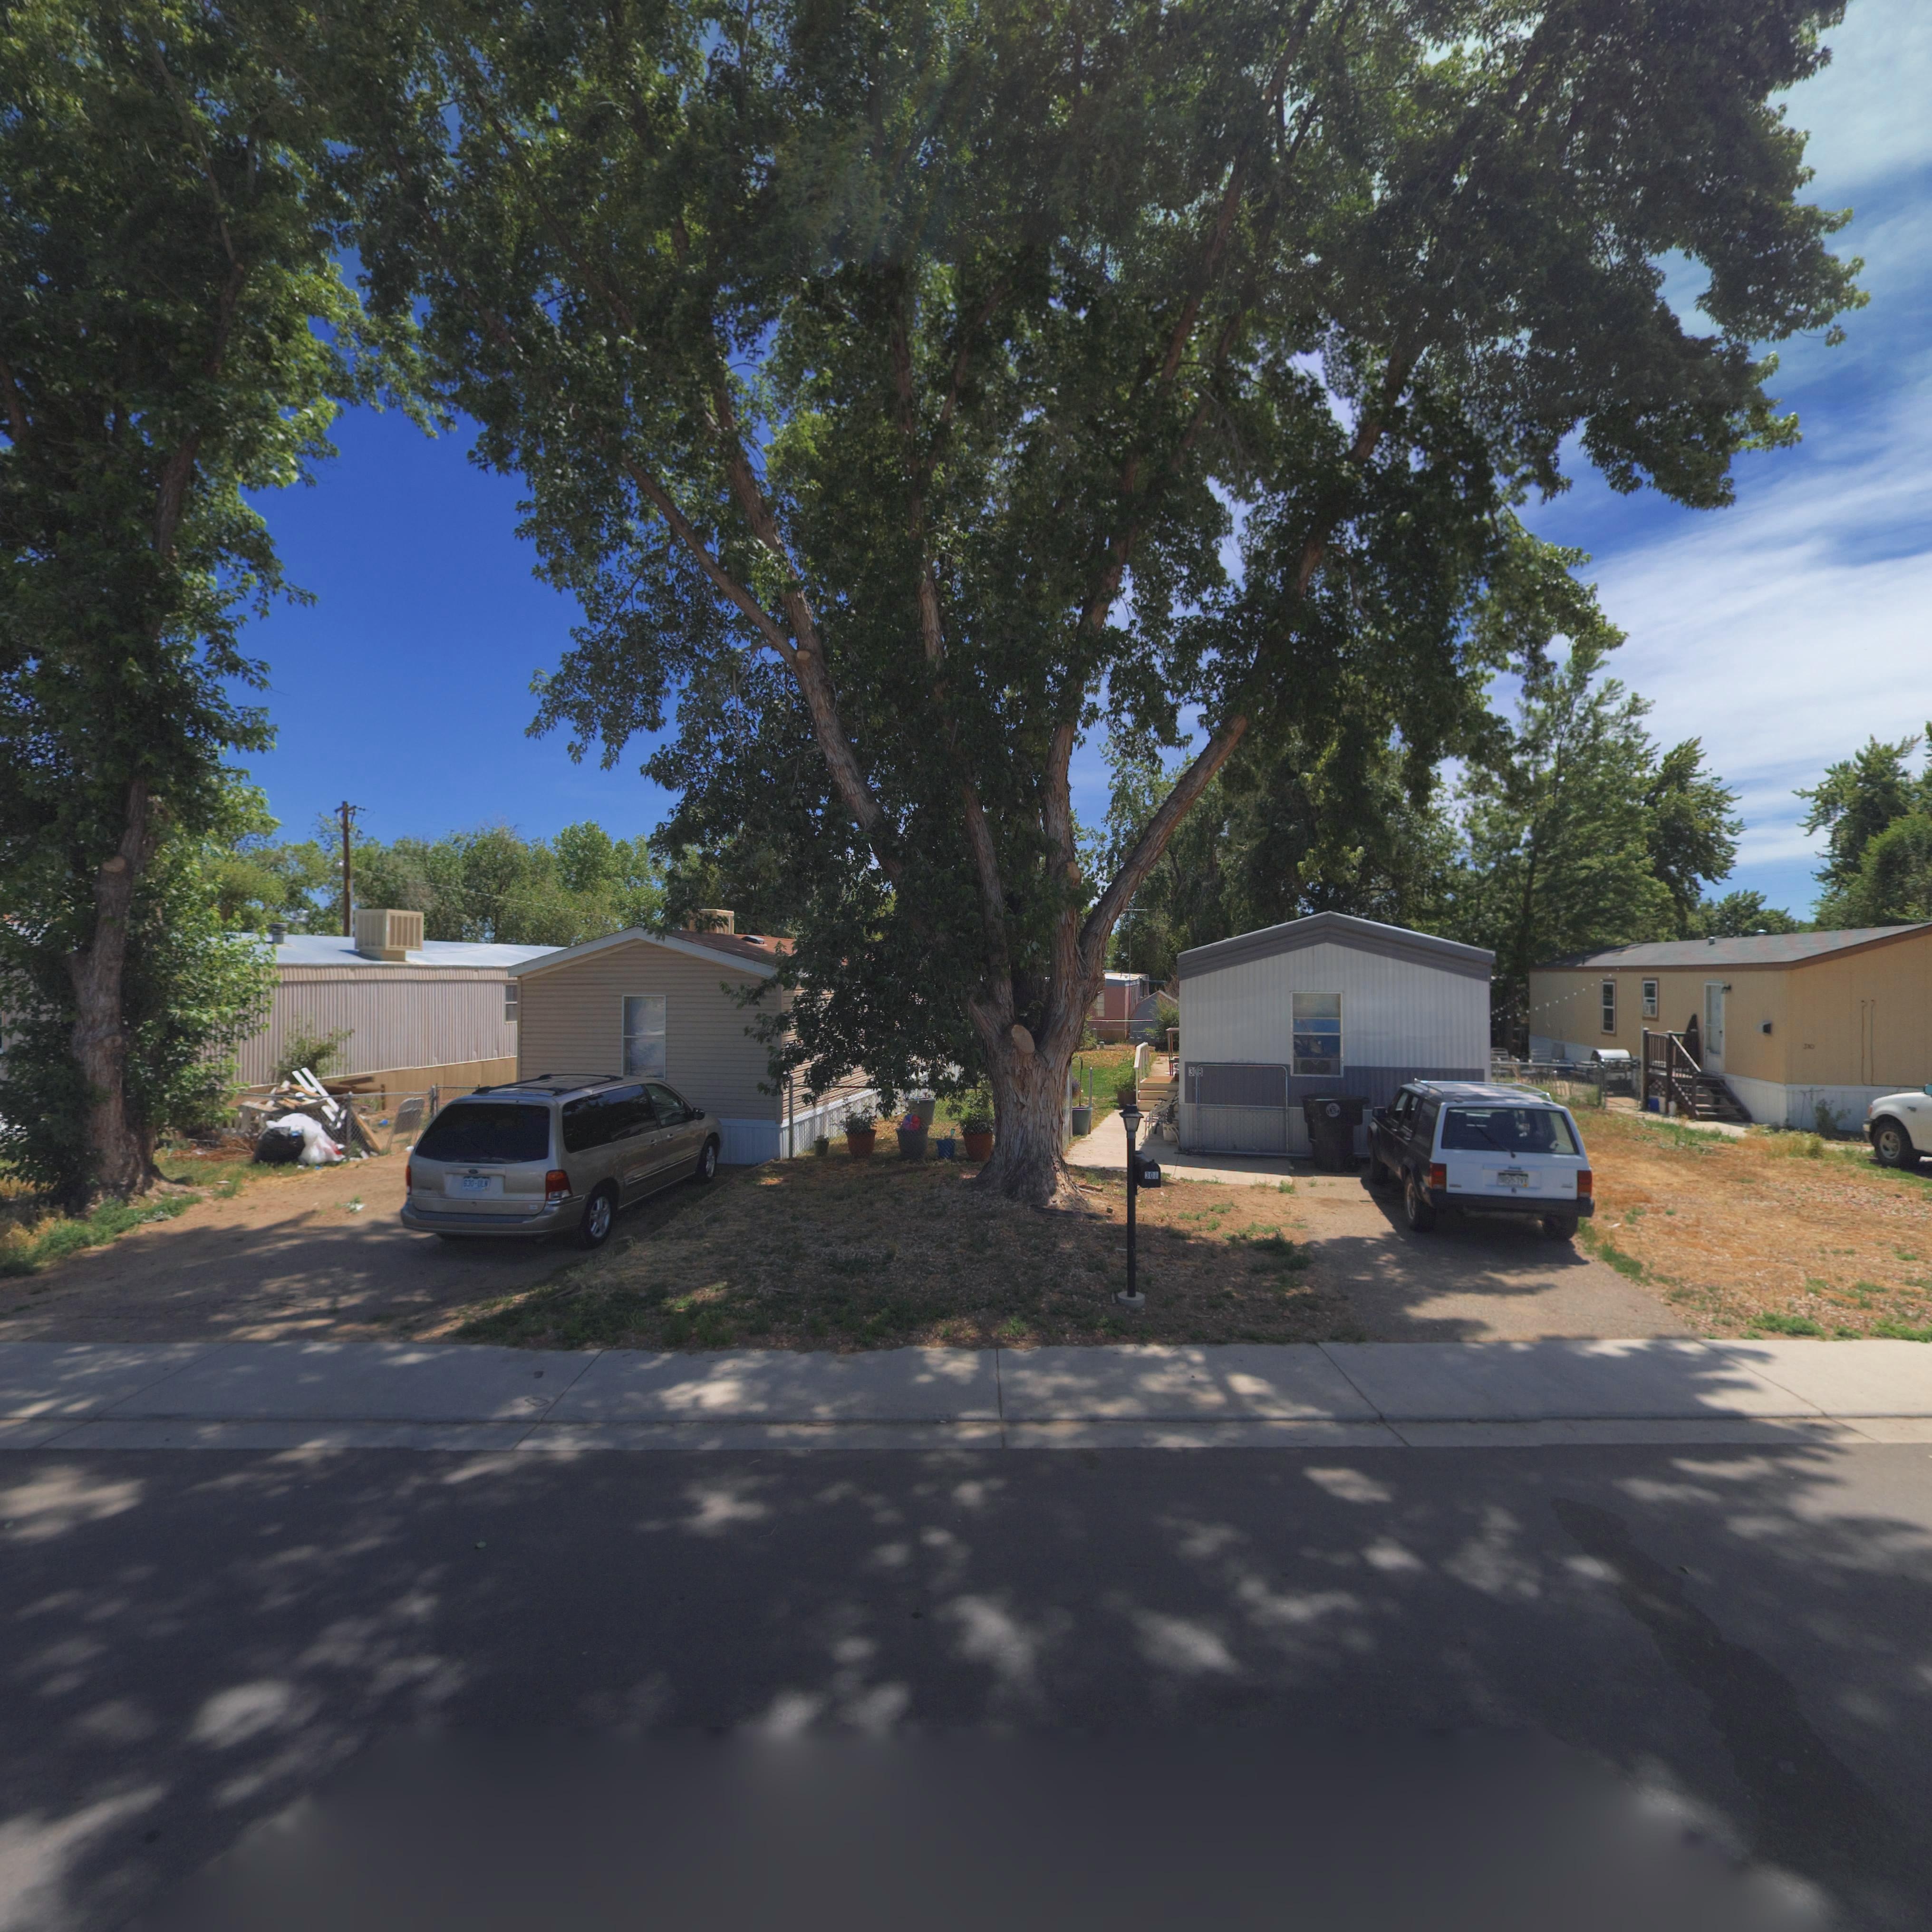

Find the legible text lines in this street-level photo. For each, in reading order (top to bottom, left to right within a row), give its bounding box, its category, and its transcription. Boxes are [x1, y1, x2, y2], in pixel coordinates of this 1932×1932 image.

[1803, 1043, 1816, 1050] StreetNumber: 3*0
[1188, 1067, 1203, 1076] StreetNumber: 308
[1145, 1171, 1158, 1179] StreetNumber: 308